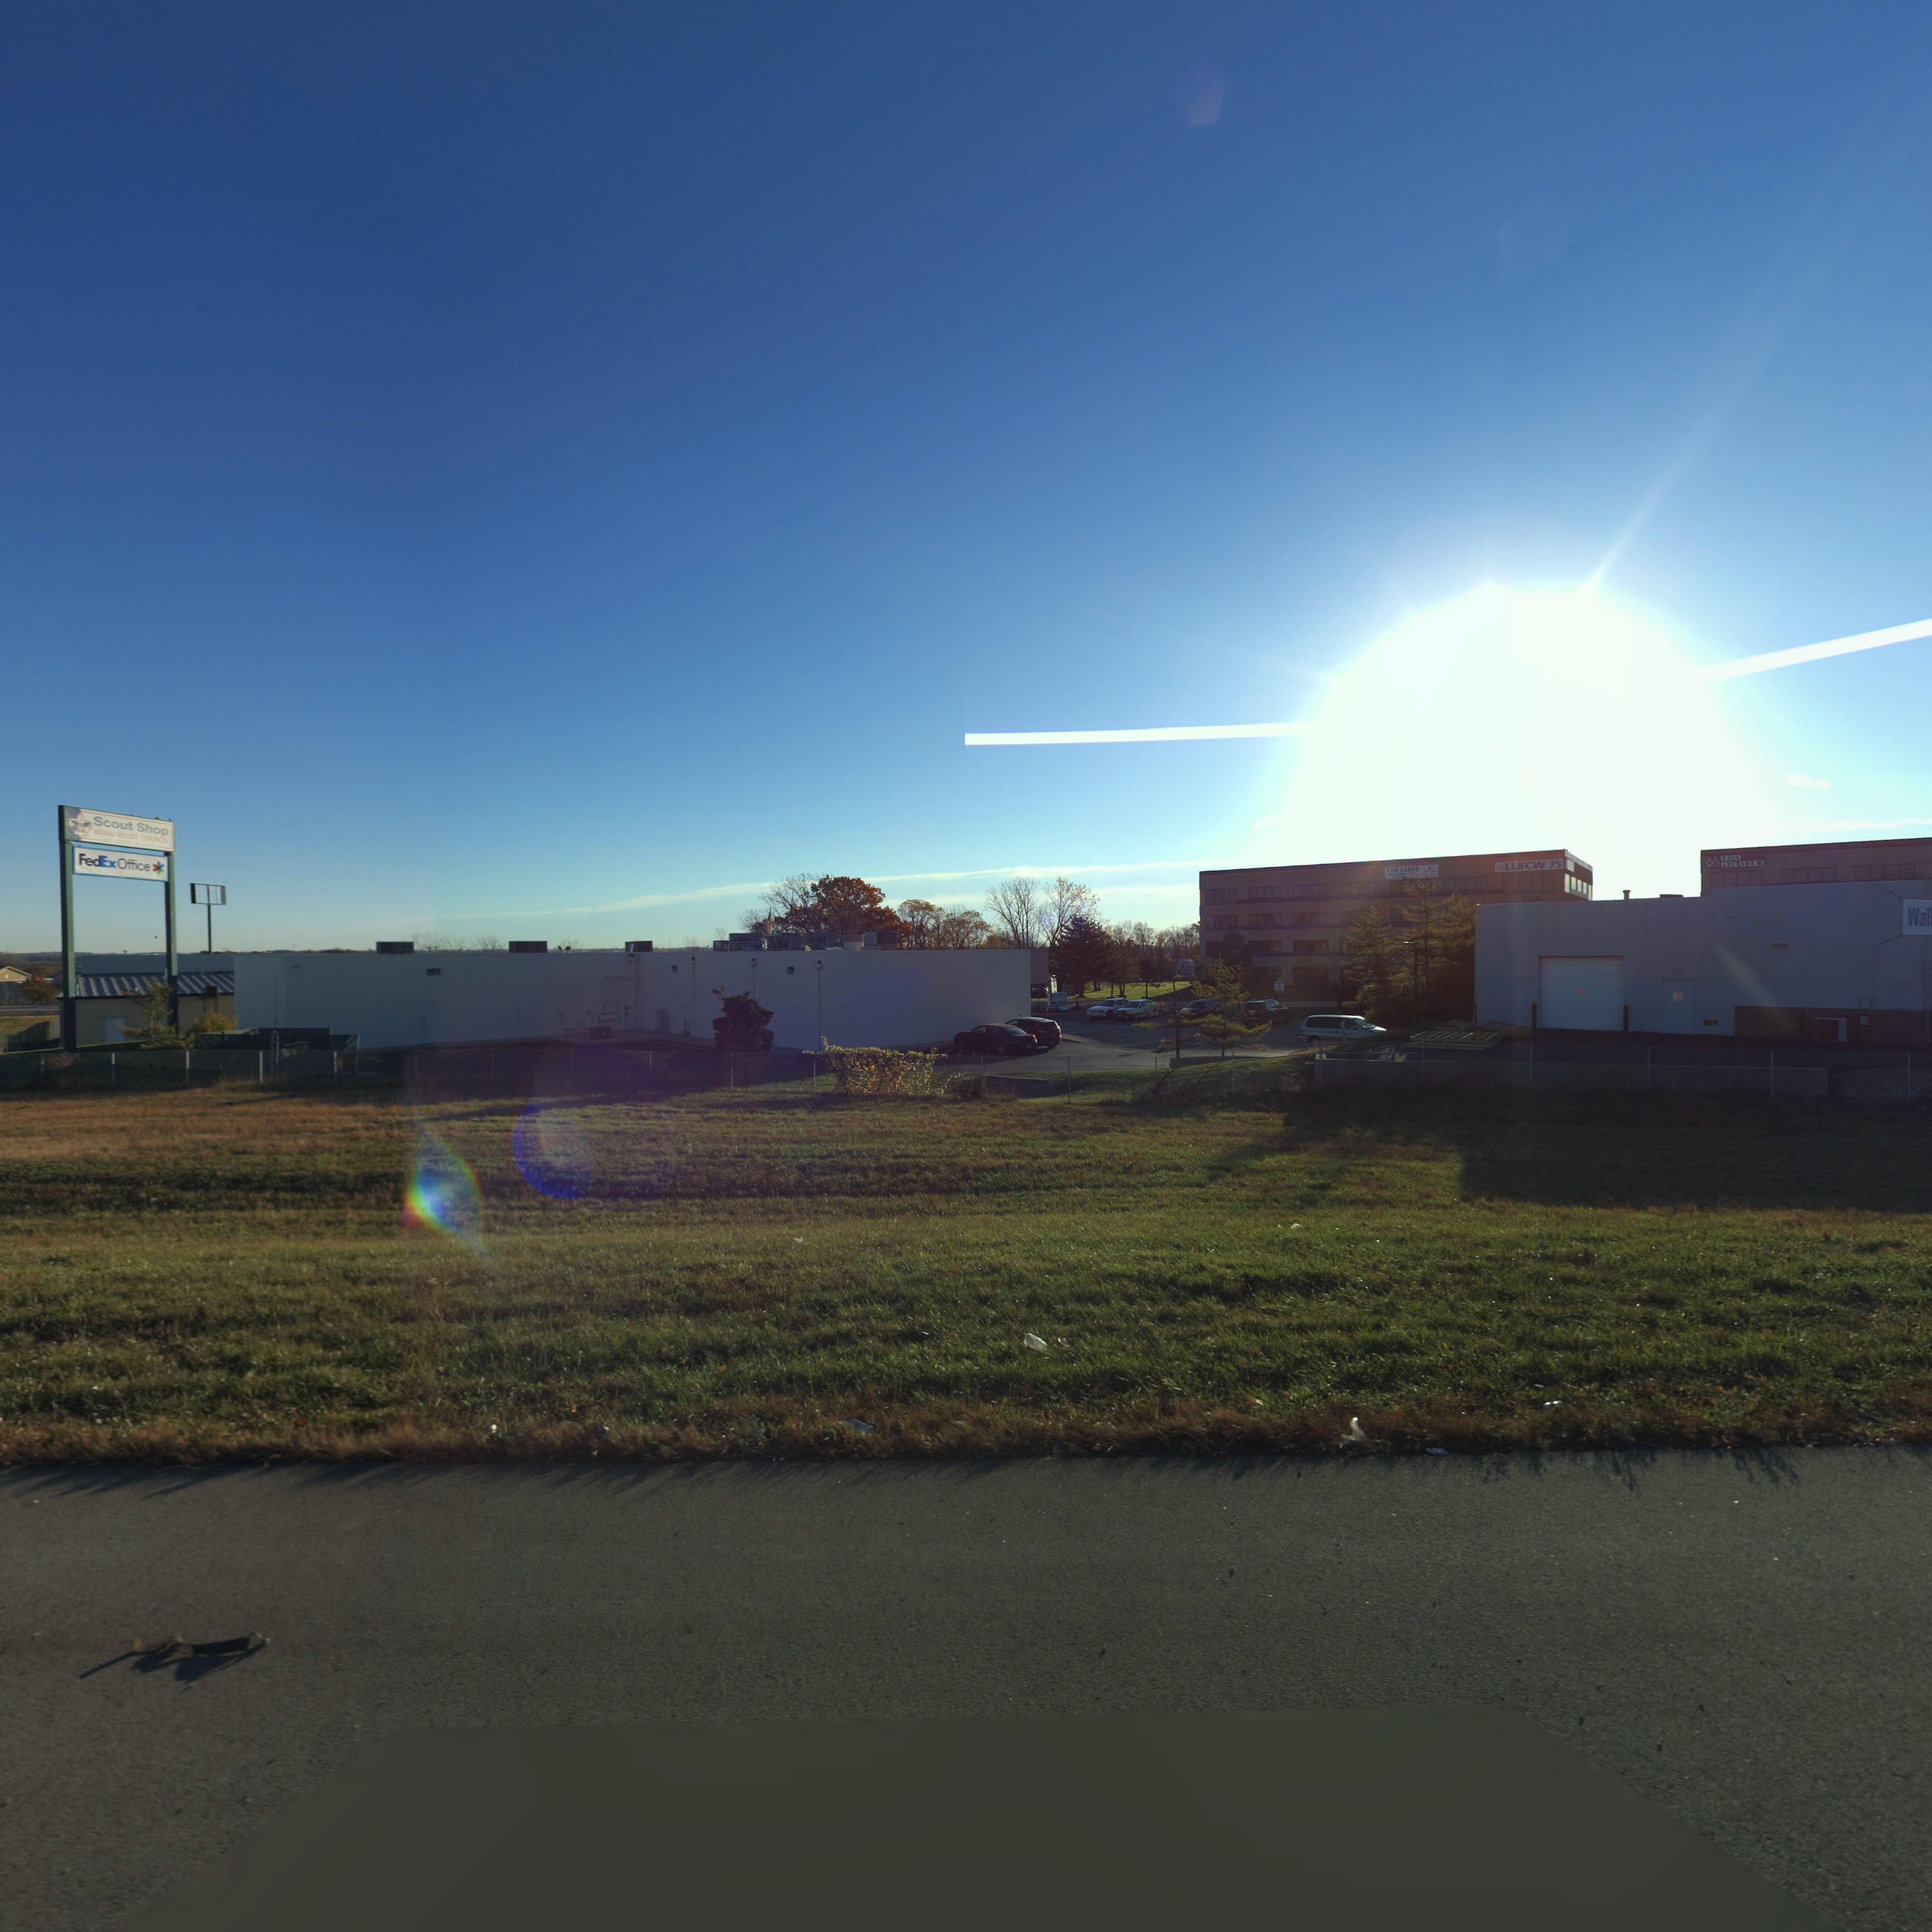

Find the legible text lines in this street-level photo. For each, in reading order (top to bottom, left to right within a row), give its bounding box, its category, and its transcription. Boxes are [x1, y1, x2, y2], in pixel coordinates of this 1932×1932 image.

[91, 813, 173, 840] None: Scout Shop
[77, 850, 151, 874] None: FedEx Office
[1520, 895, 1542, 904] StreetNumber: 7250